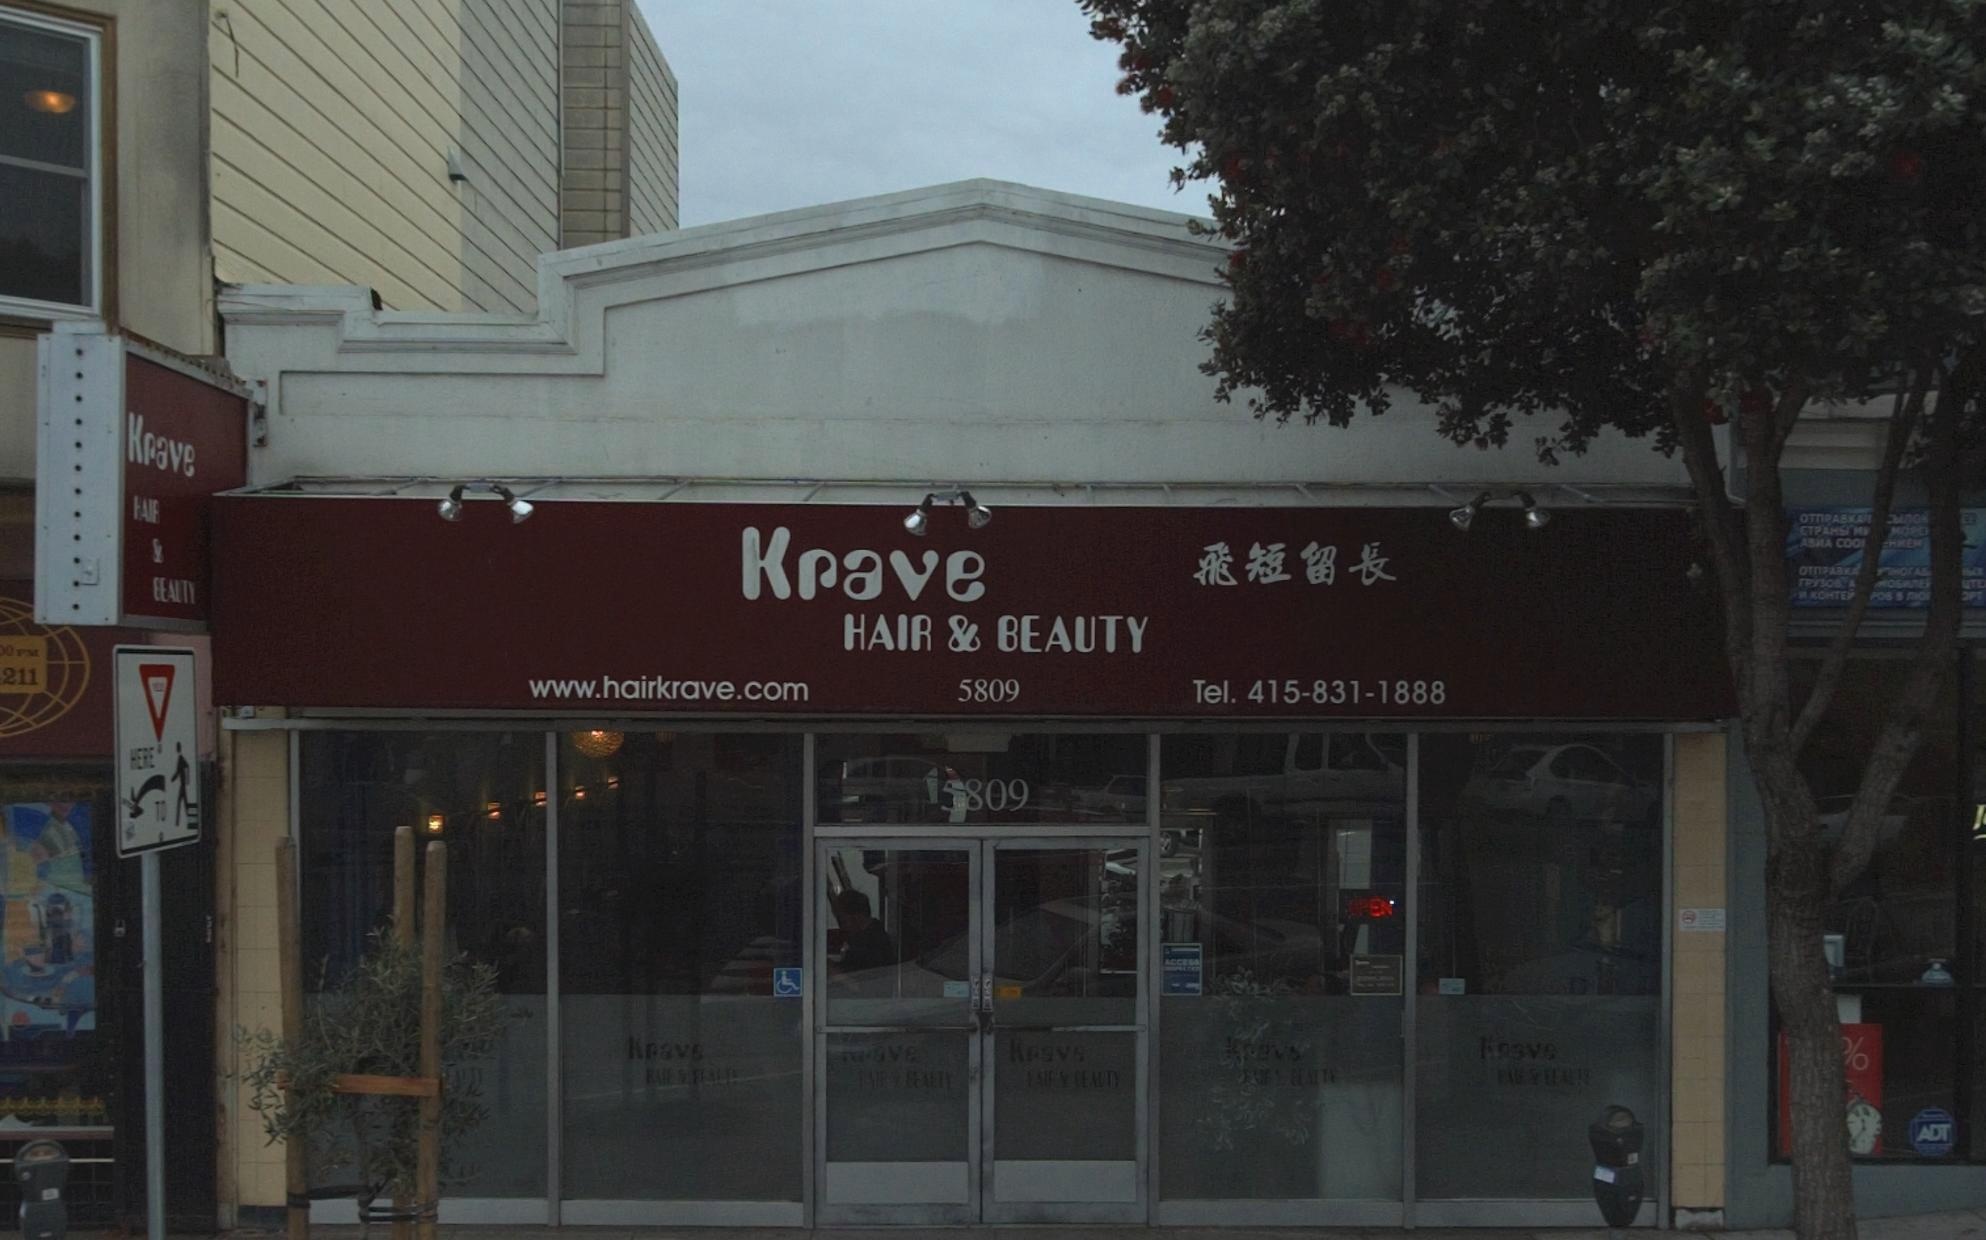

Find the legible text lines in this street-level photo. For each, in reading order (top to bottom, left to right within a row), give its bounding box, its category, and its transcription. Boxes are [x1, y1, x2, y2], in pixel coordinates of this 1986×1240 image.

[126, 409, 199, 481] None: Krave
[130, 491, 163, 527] None: *A**
[1795, 510, 1850, 526] None: OT*PAB
[1795, 535, 1863, 551] None: A**A COO
[1796, 523, 1865, 539] None: CTPA*S* M
[738, 522, 991, 607] BusinessName: Krave
[150, 574, 199, 608] None: *EA*T*
[841, 611, 1153, 657] BusinessName: HAIR & BEAUTY
[2, 641, 43, 659] None: 0 PM
[14, 665, 40, 688] None: 11
[524, 672, 812, 704] None: www.hairkrave.com
[954, 675, 1023, 706] StreetNumber: 5809
[1188, 676, 1449, 708] None: Tel. 415-831-1888
[127, 744, 159, 773] None: HE*E
[936, 774, 1033, 815] StreetNumber: 5809
[152, 797, 170, 825] None: TO
[1343, 893, 1395, 921] None: *PE*
[1912, 1120, 1955, 1145] None: ADT